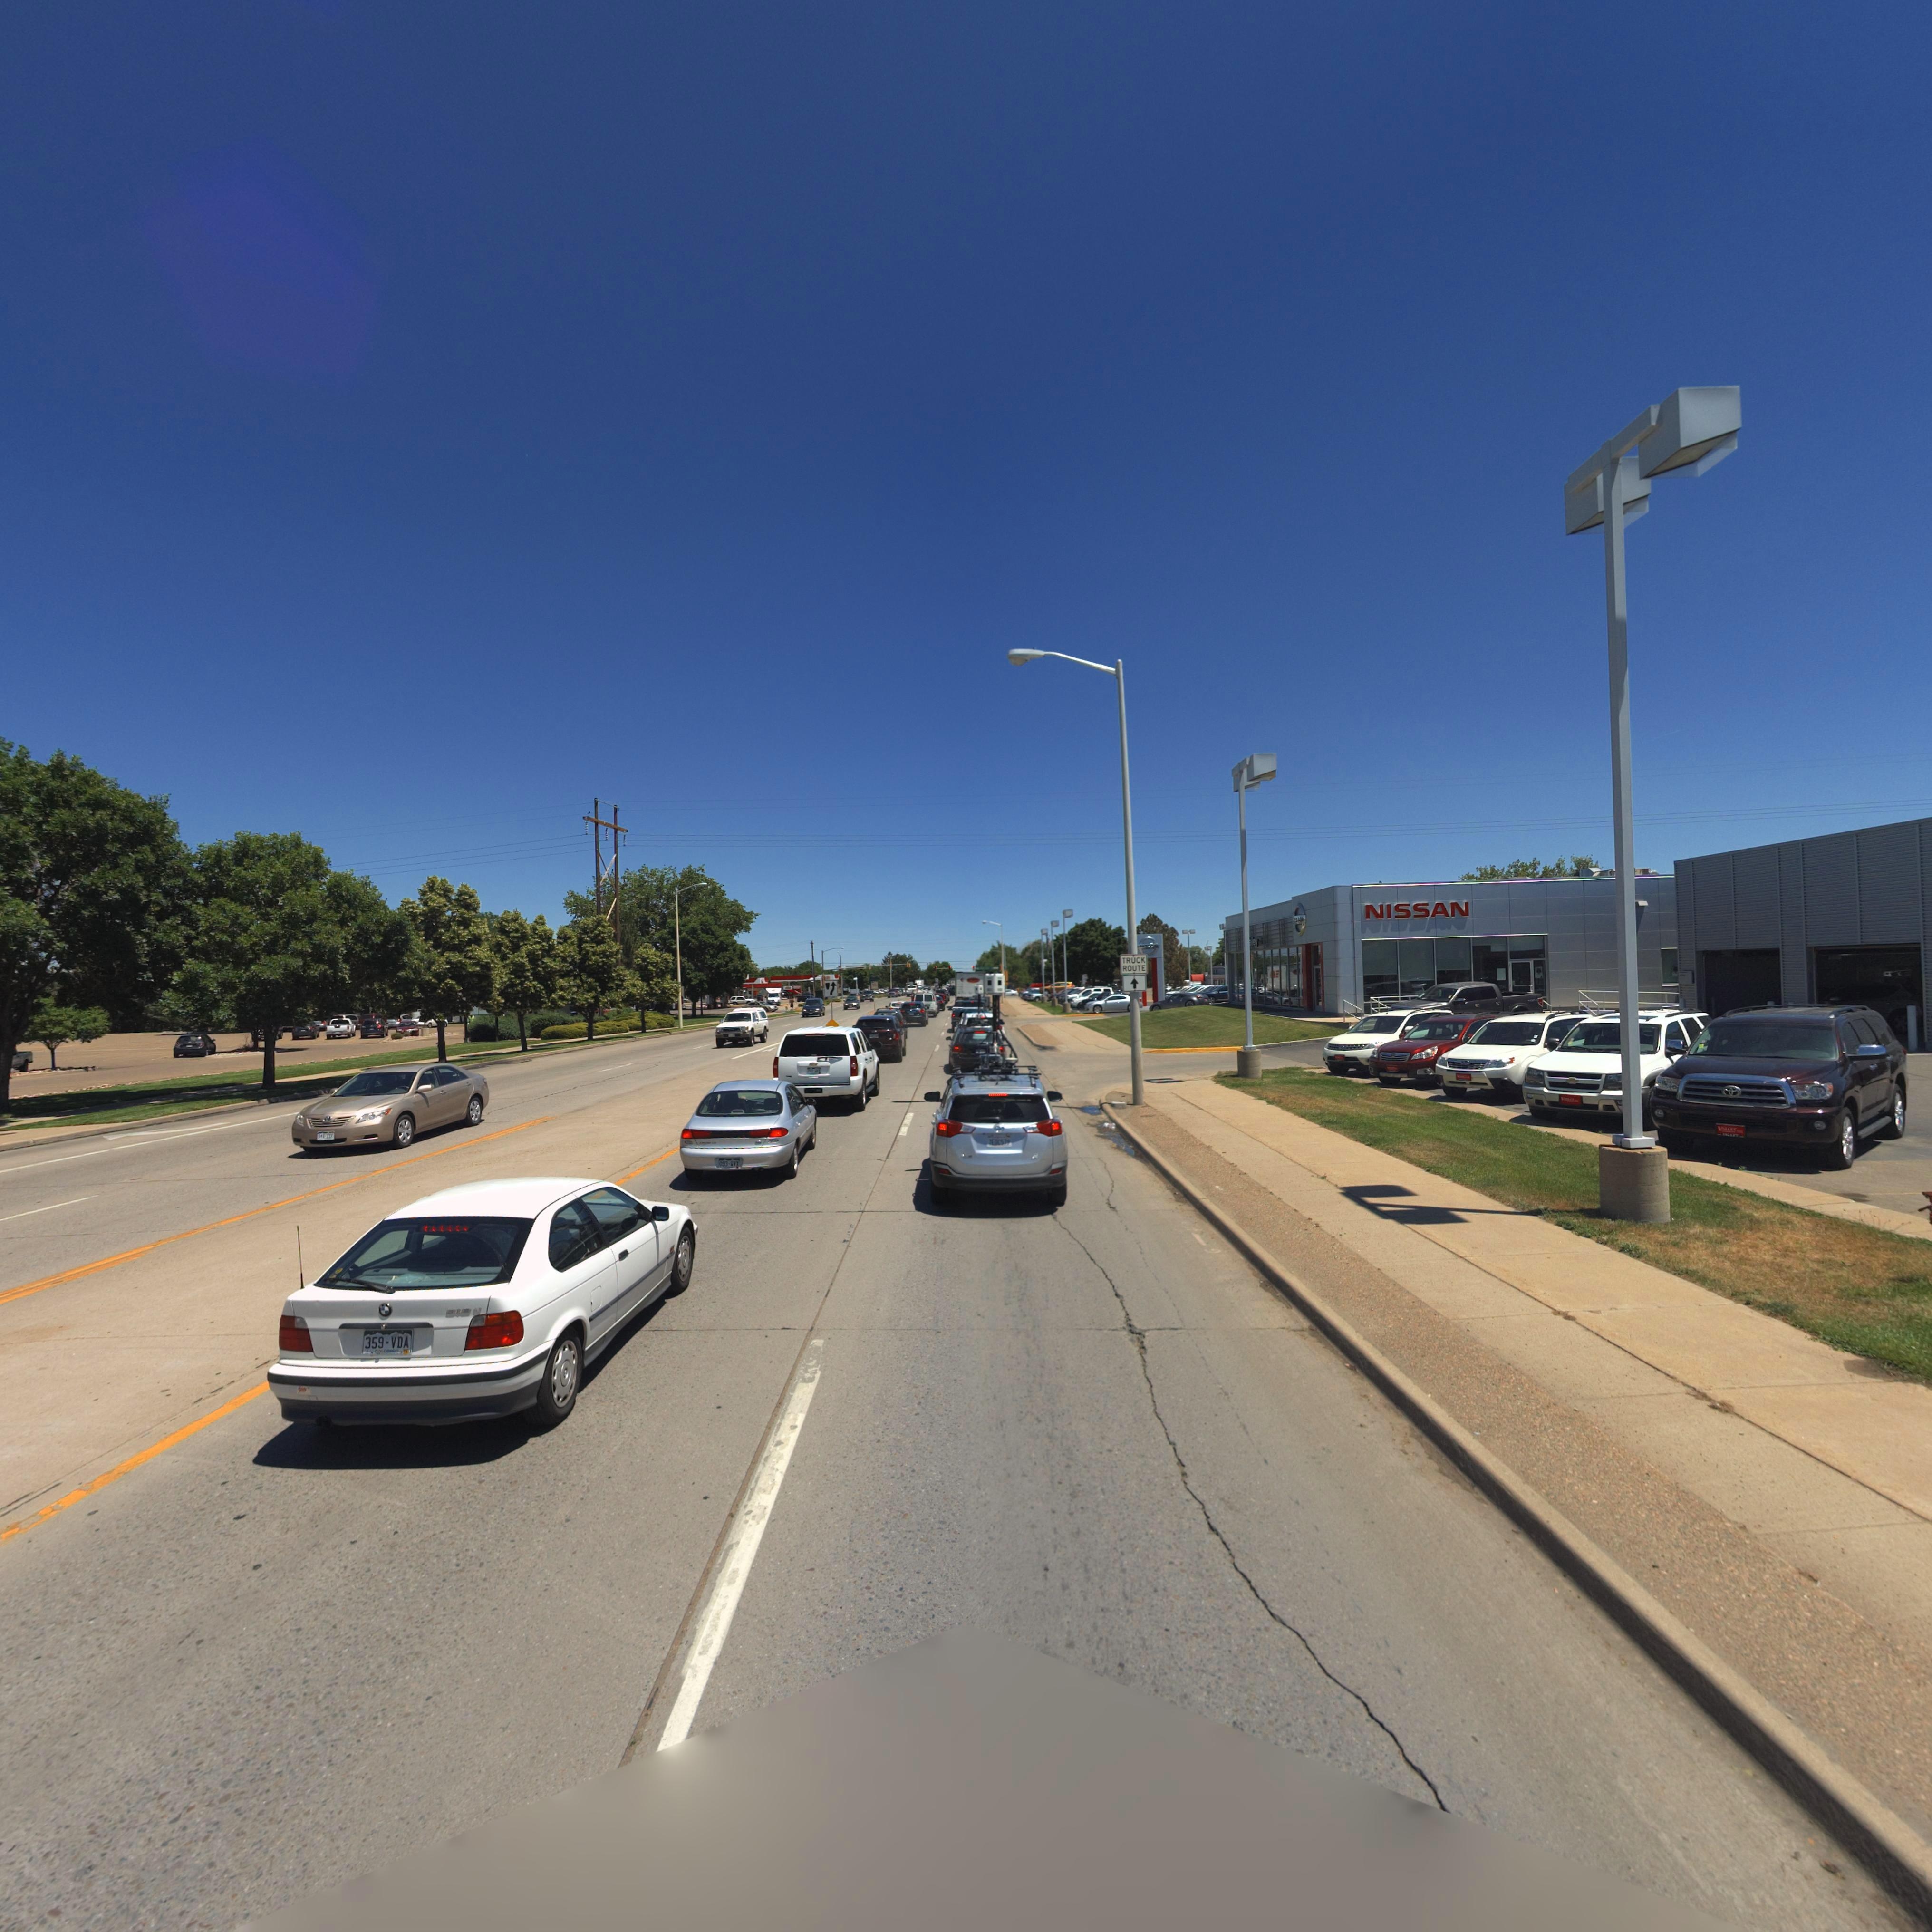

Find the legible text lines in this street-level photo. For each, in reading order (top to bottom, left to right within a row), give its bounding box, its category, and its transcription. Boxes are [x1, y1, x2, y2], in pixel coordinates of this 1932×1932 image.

[1364, 900, 1469, 920] BusinessName: NISSAN
[1250, 936, 1258, 947] BusinessName: **e*